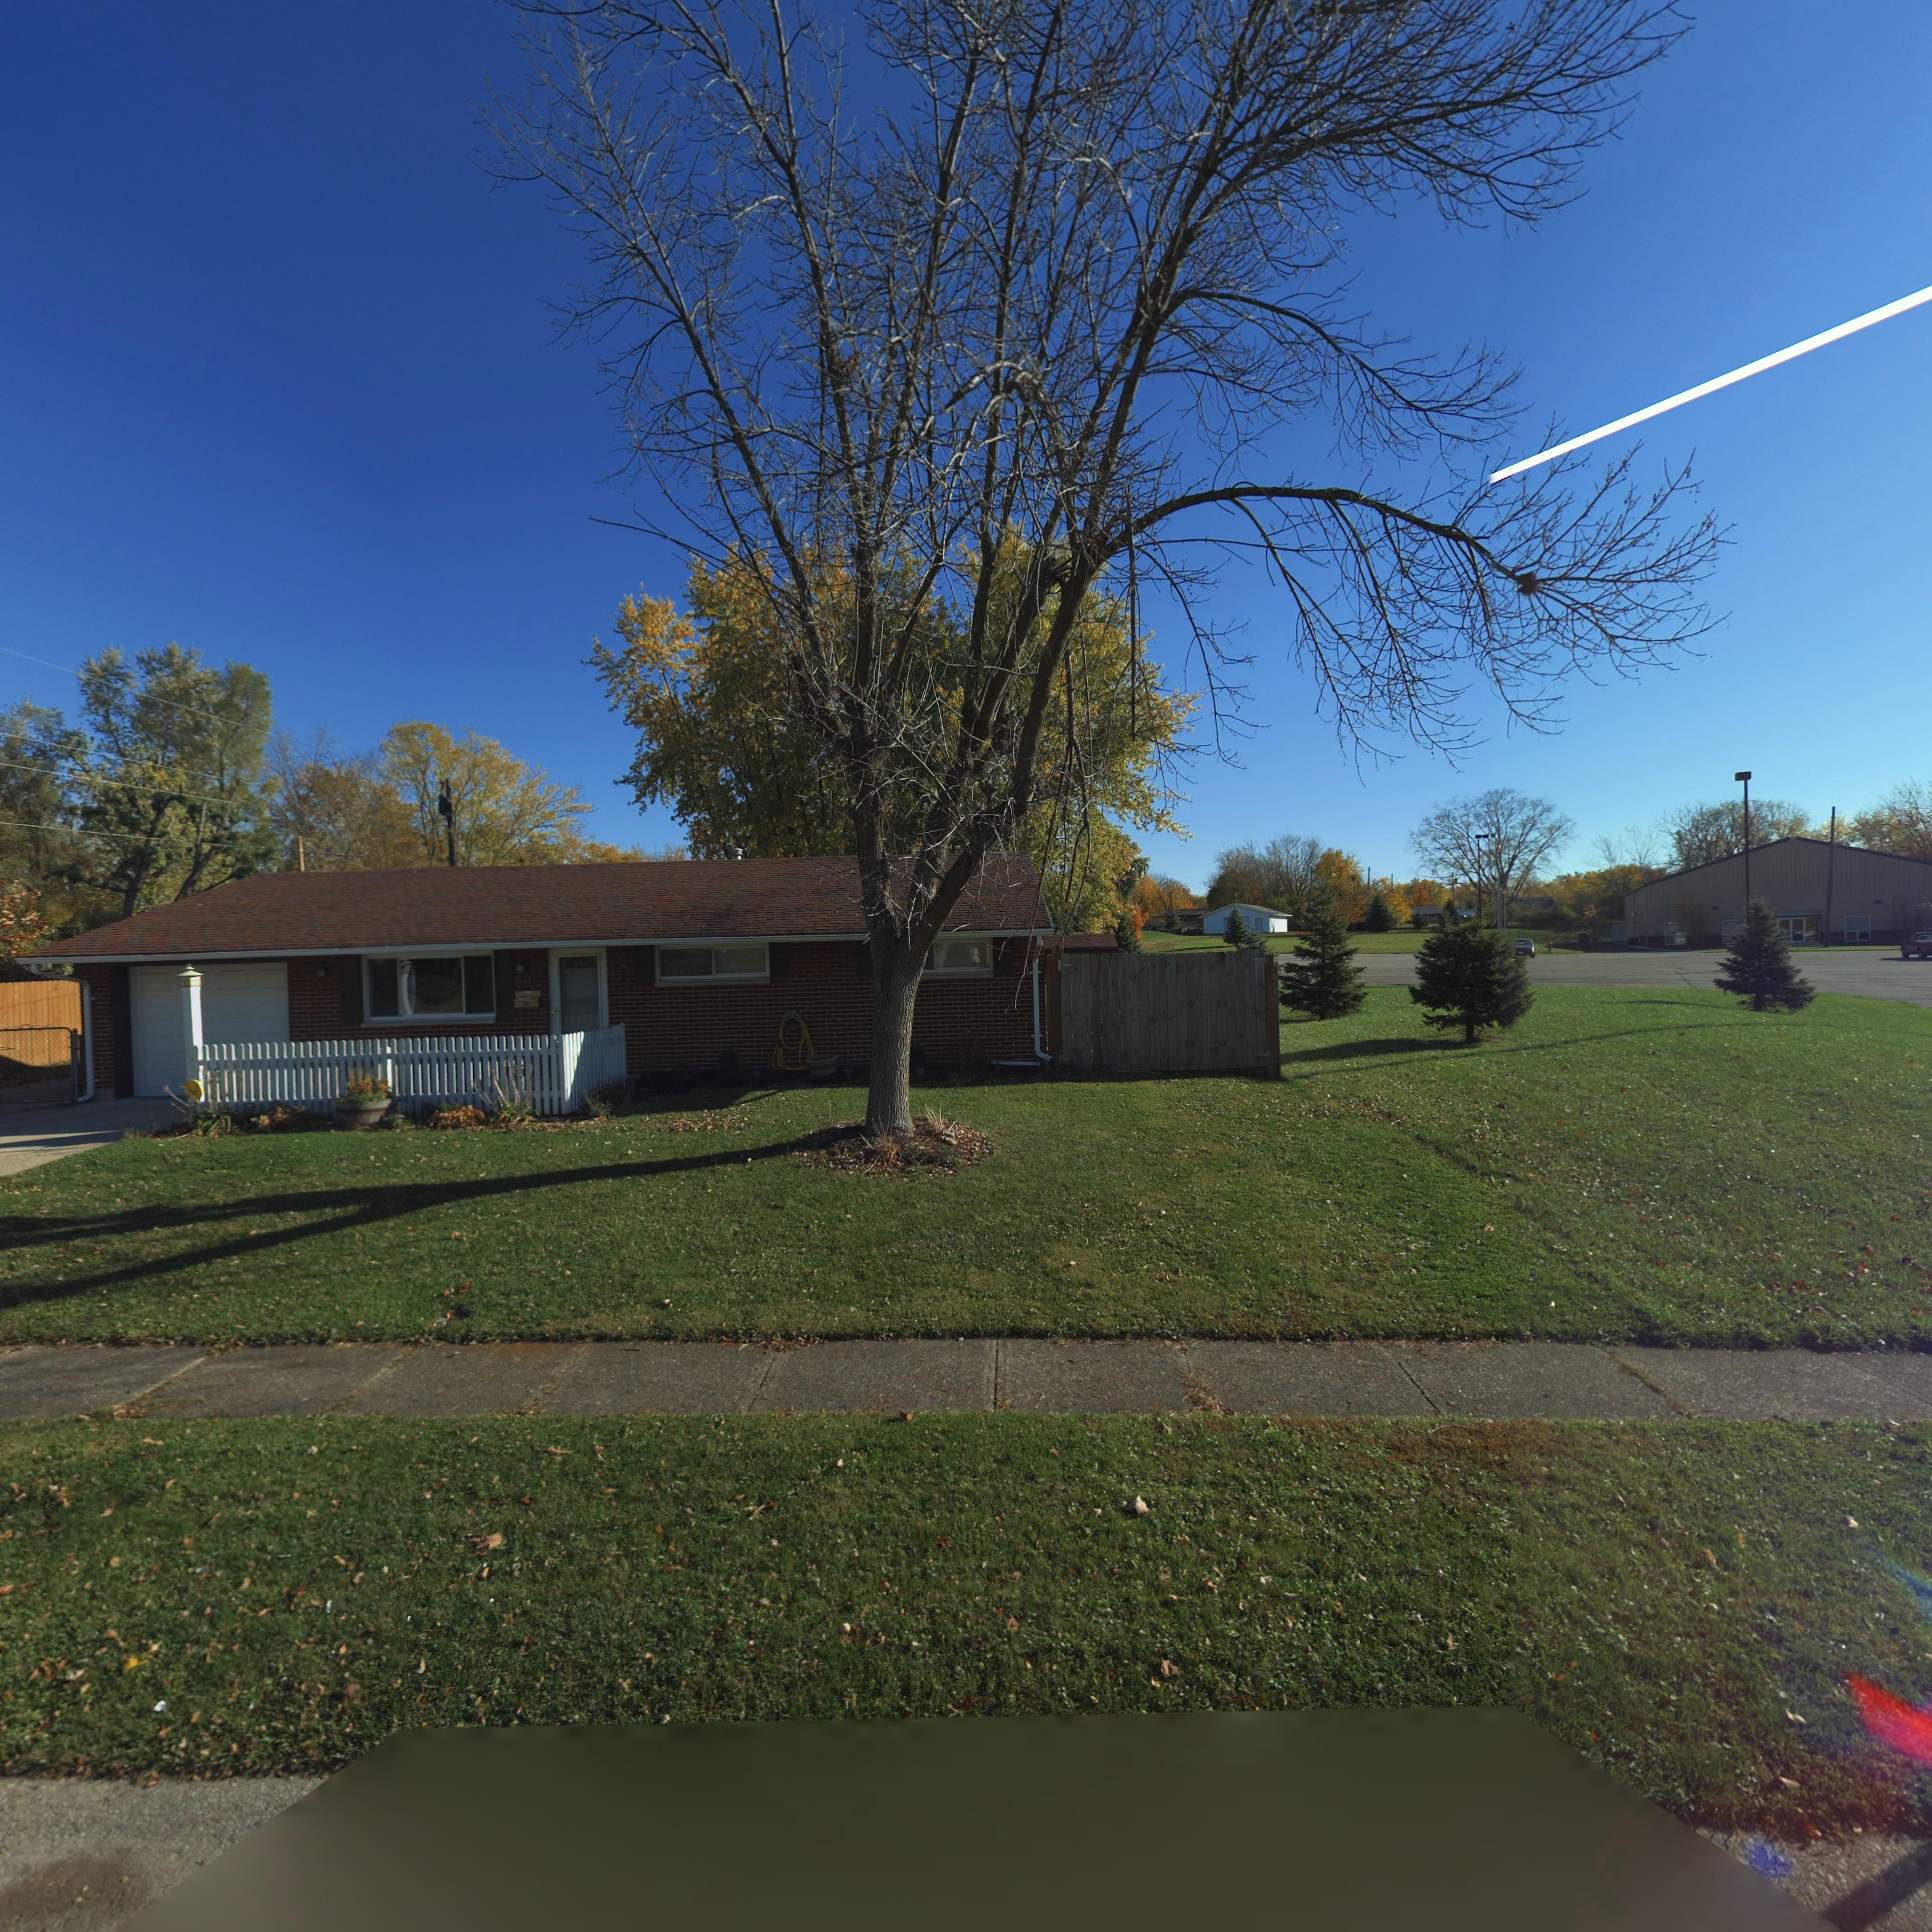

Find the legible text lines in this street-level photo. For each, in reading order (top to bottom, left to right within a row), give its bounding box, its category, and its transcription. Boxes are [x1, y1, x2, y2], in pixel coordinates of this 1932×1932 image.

[514, 976, 533, 987] StreetNumber: 7***